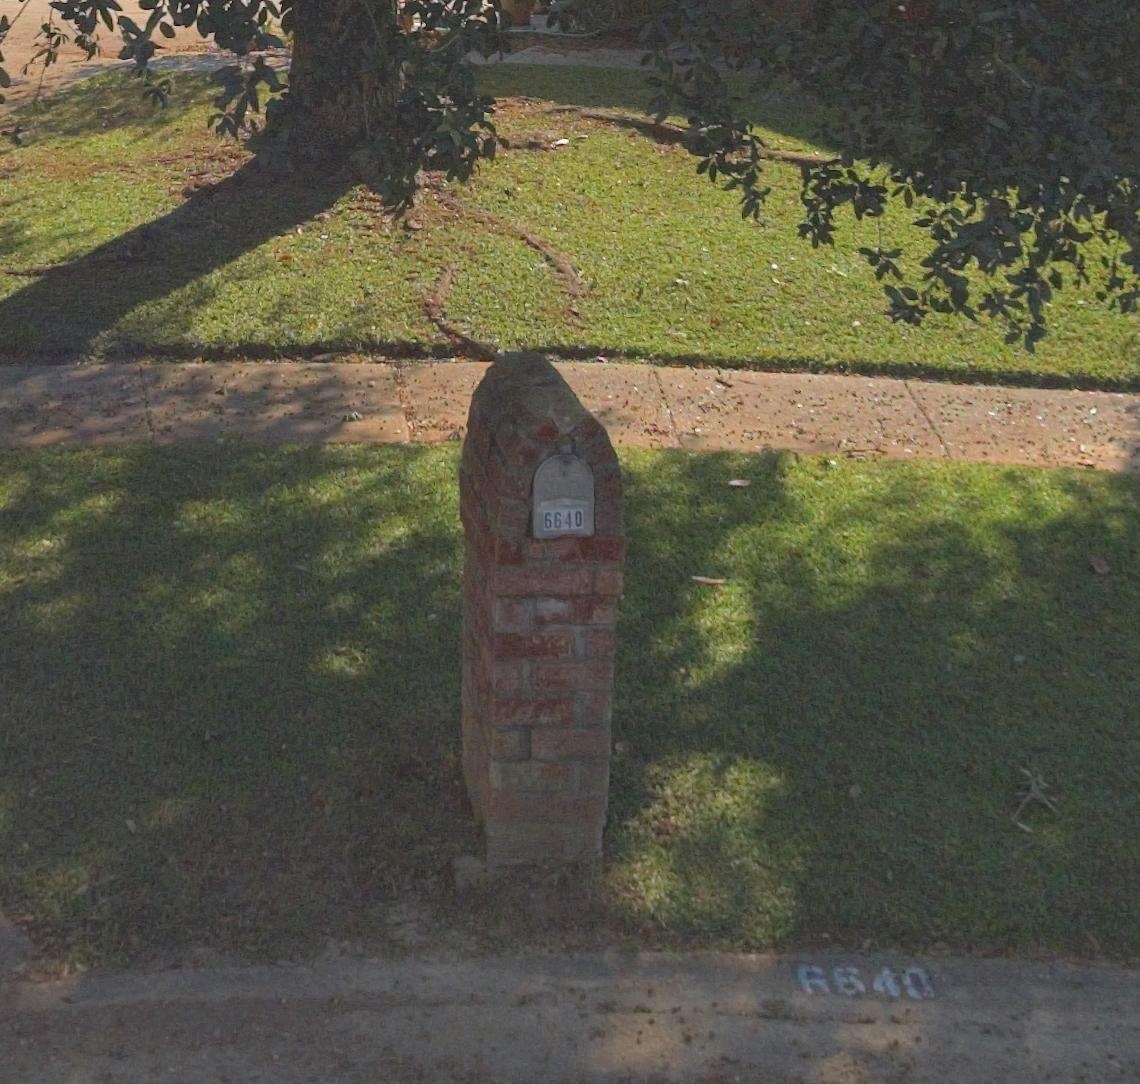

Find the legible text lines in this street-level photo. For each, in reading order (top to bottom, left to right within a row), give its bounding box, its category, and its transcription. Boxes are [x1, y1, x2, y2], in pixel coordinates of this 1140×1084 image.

[544, 511, 584, 529] StreetNumber: 6640
[795, 964, 939, 998] None: 6640